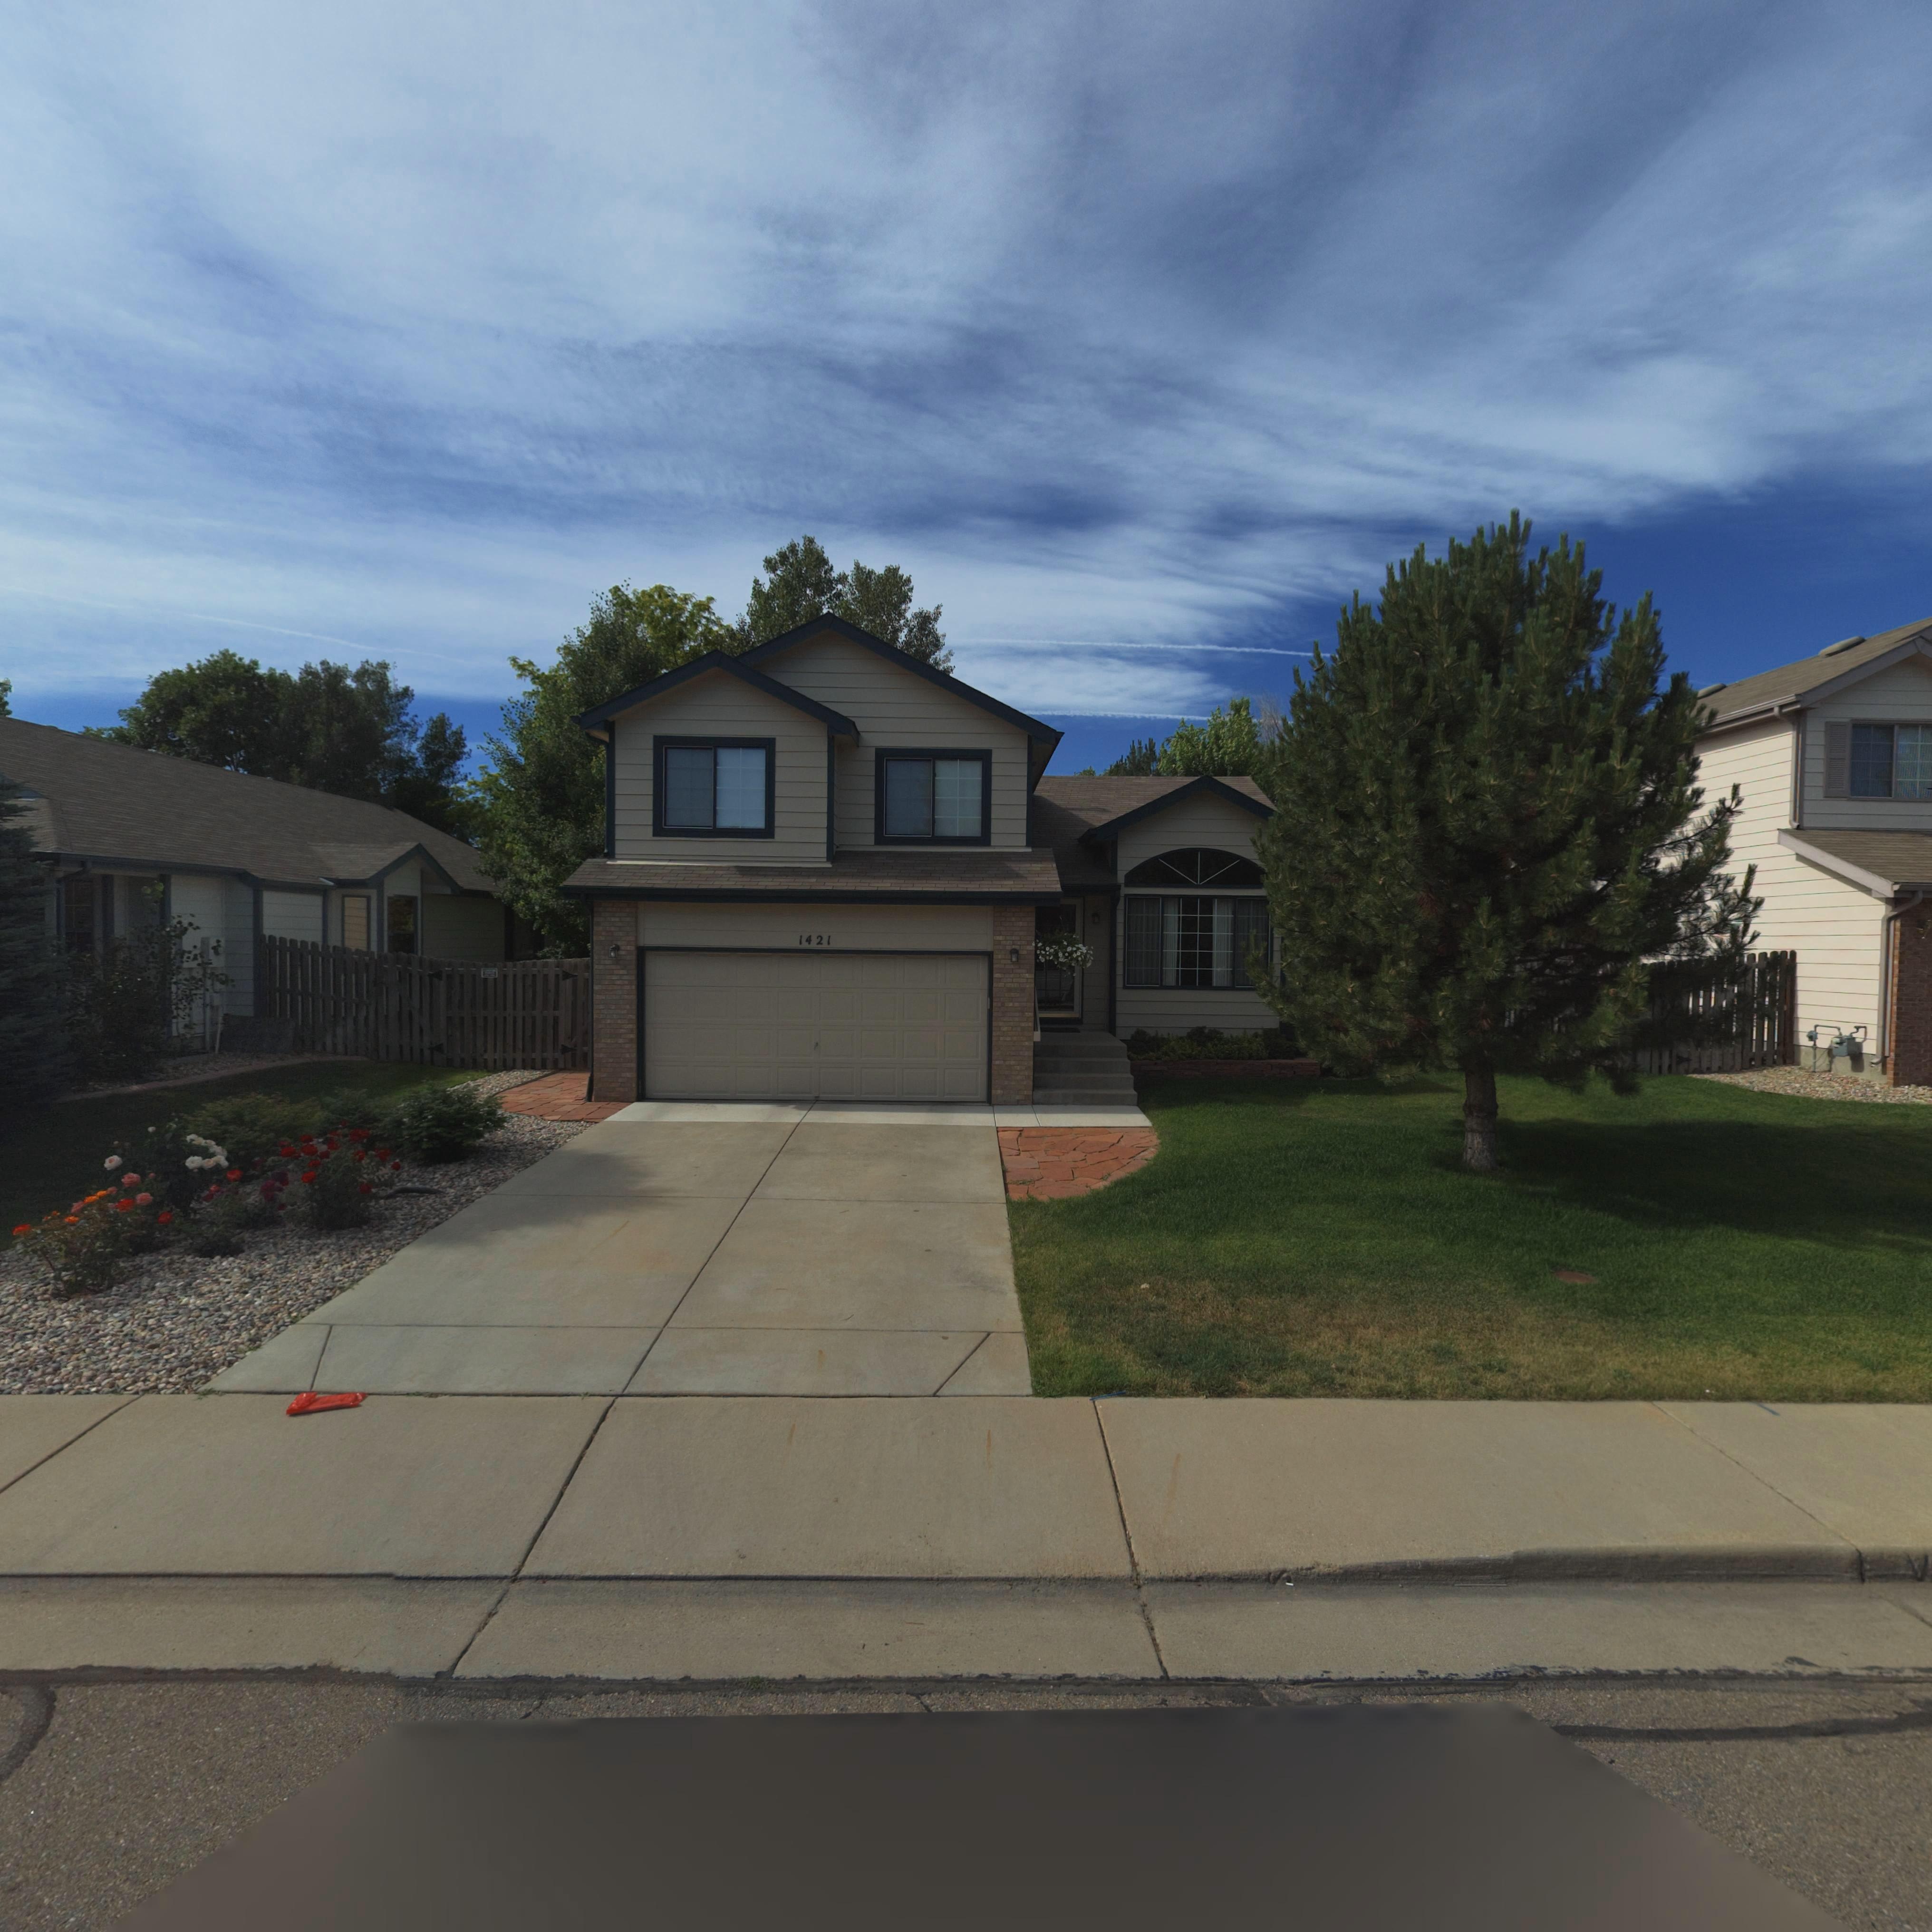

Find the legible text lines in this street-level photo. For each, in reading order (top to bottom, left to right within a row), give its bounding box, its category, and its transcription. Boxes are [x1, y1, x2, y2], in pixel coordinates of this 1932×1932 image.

[798, 934, 831, 946] StreetNumber: 1421